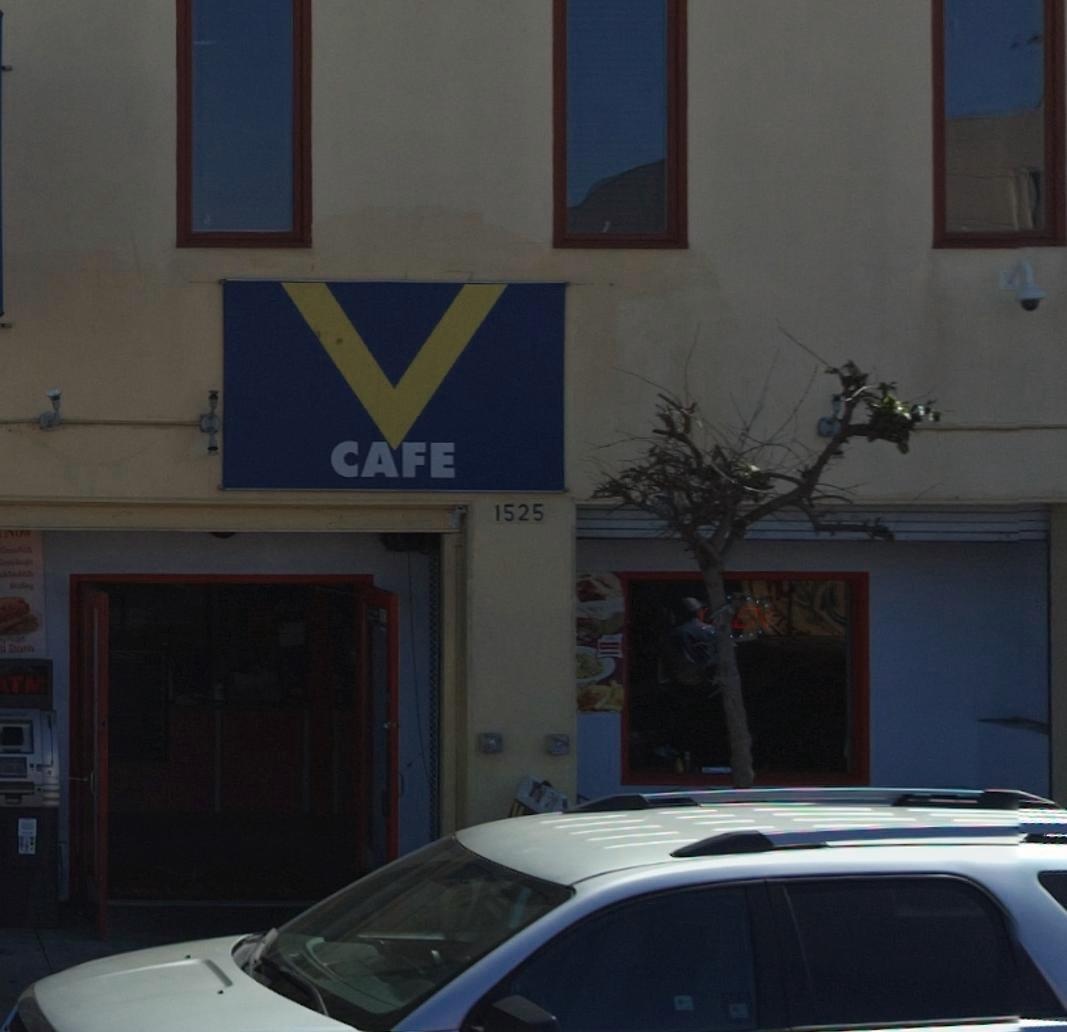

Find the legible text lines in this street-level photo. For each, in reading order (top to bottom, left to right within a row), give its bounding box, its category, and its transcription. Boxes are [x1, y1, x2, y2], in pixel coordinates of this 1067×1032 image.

[327, 436, 459, 483] BusinessName: CAFE
[491, 501, 547, 526] StreetNumber: 1525
[726, 602, 780, 635] None: EN
[5, 672, 48, 698] None: TM